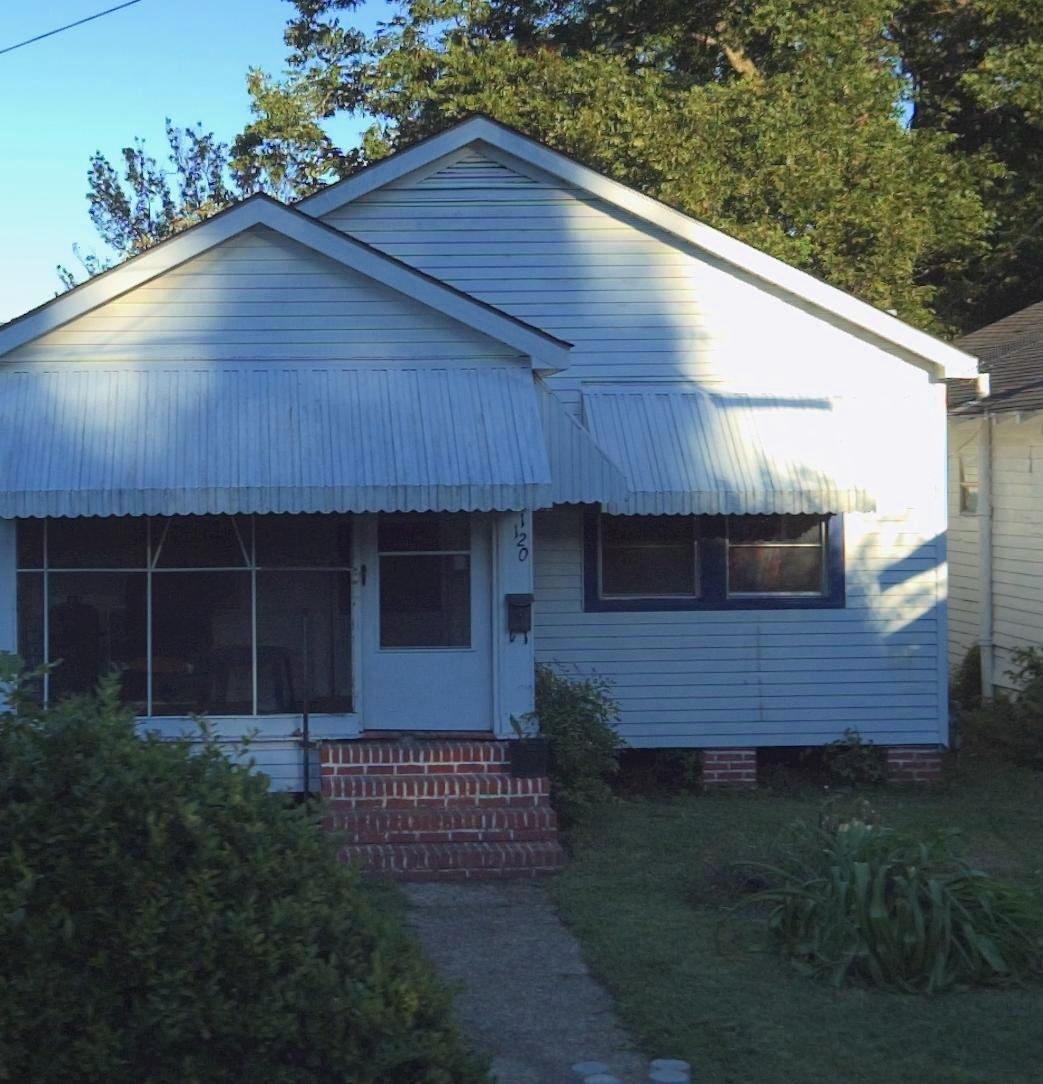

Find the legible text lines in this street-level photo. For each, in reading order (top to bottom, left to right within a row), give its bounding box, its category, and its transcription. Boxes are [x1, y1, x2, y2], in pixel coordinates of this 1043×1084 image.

[511, 510, 530, 563] StreetNumber: 1120